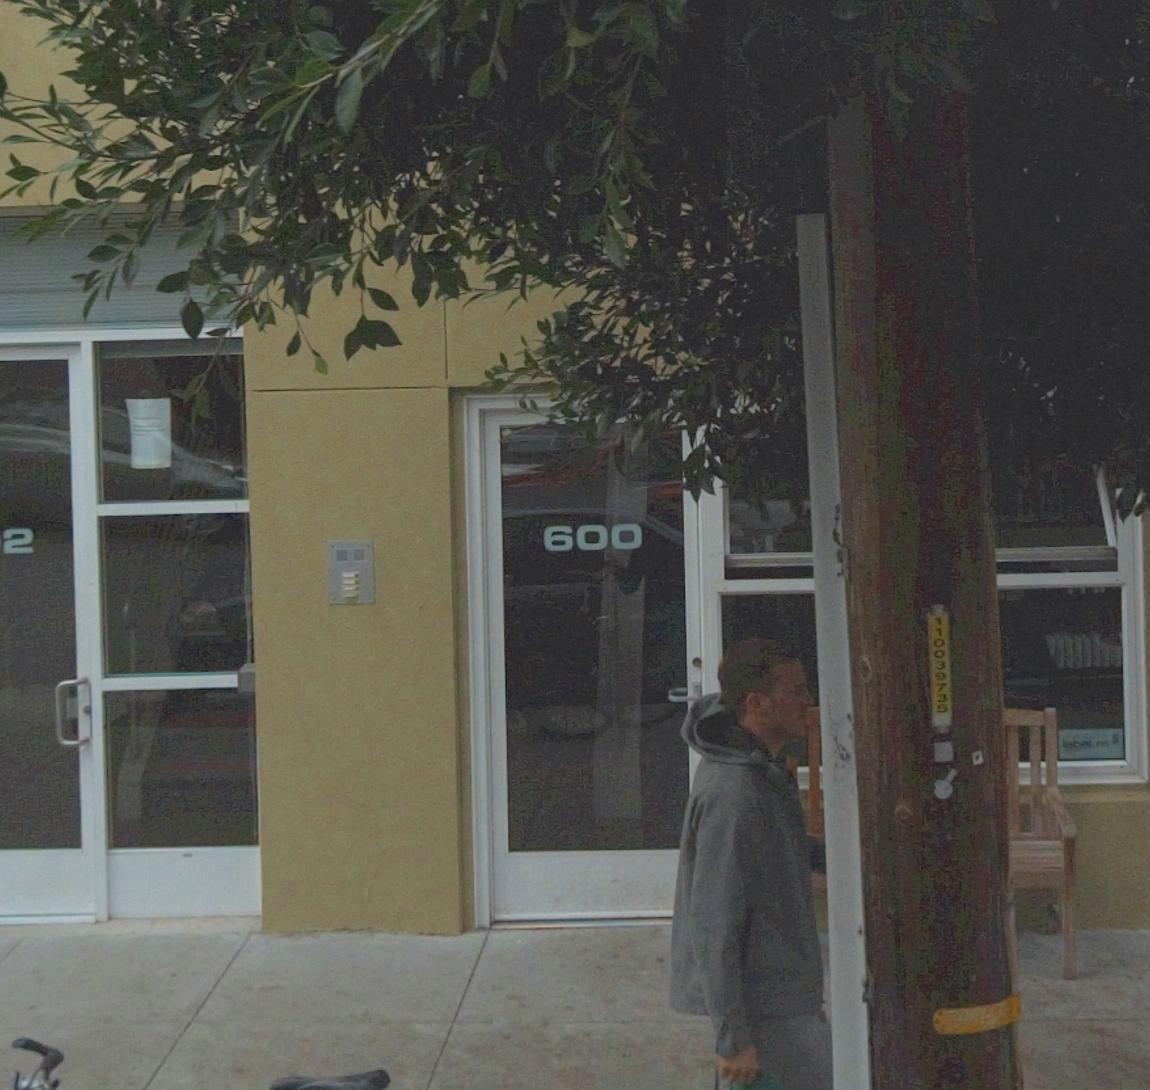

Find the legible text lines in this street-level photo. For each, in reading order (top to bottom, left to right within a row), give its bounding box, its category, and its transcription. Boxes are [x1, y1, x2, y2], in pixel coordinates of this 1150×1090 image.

[540, 521, 644, 553] StreetNumber: 600
[928, 612, 950, 713] None: 110039735